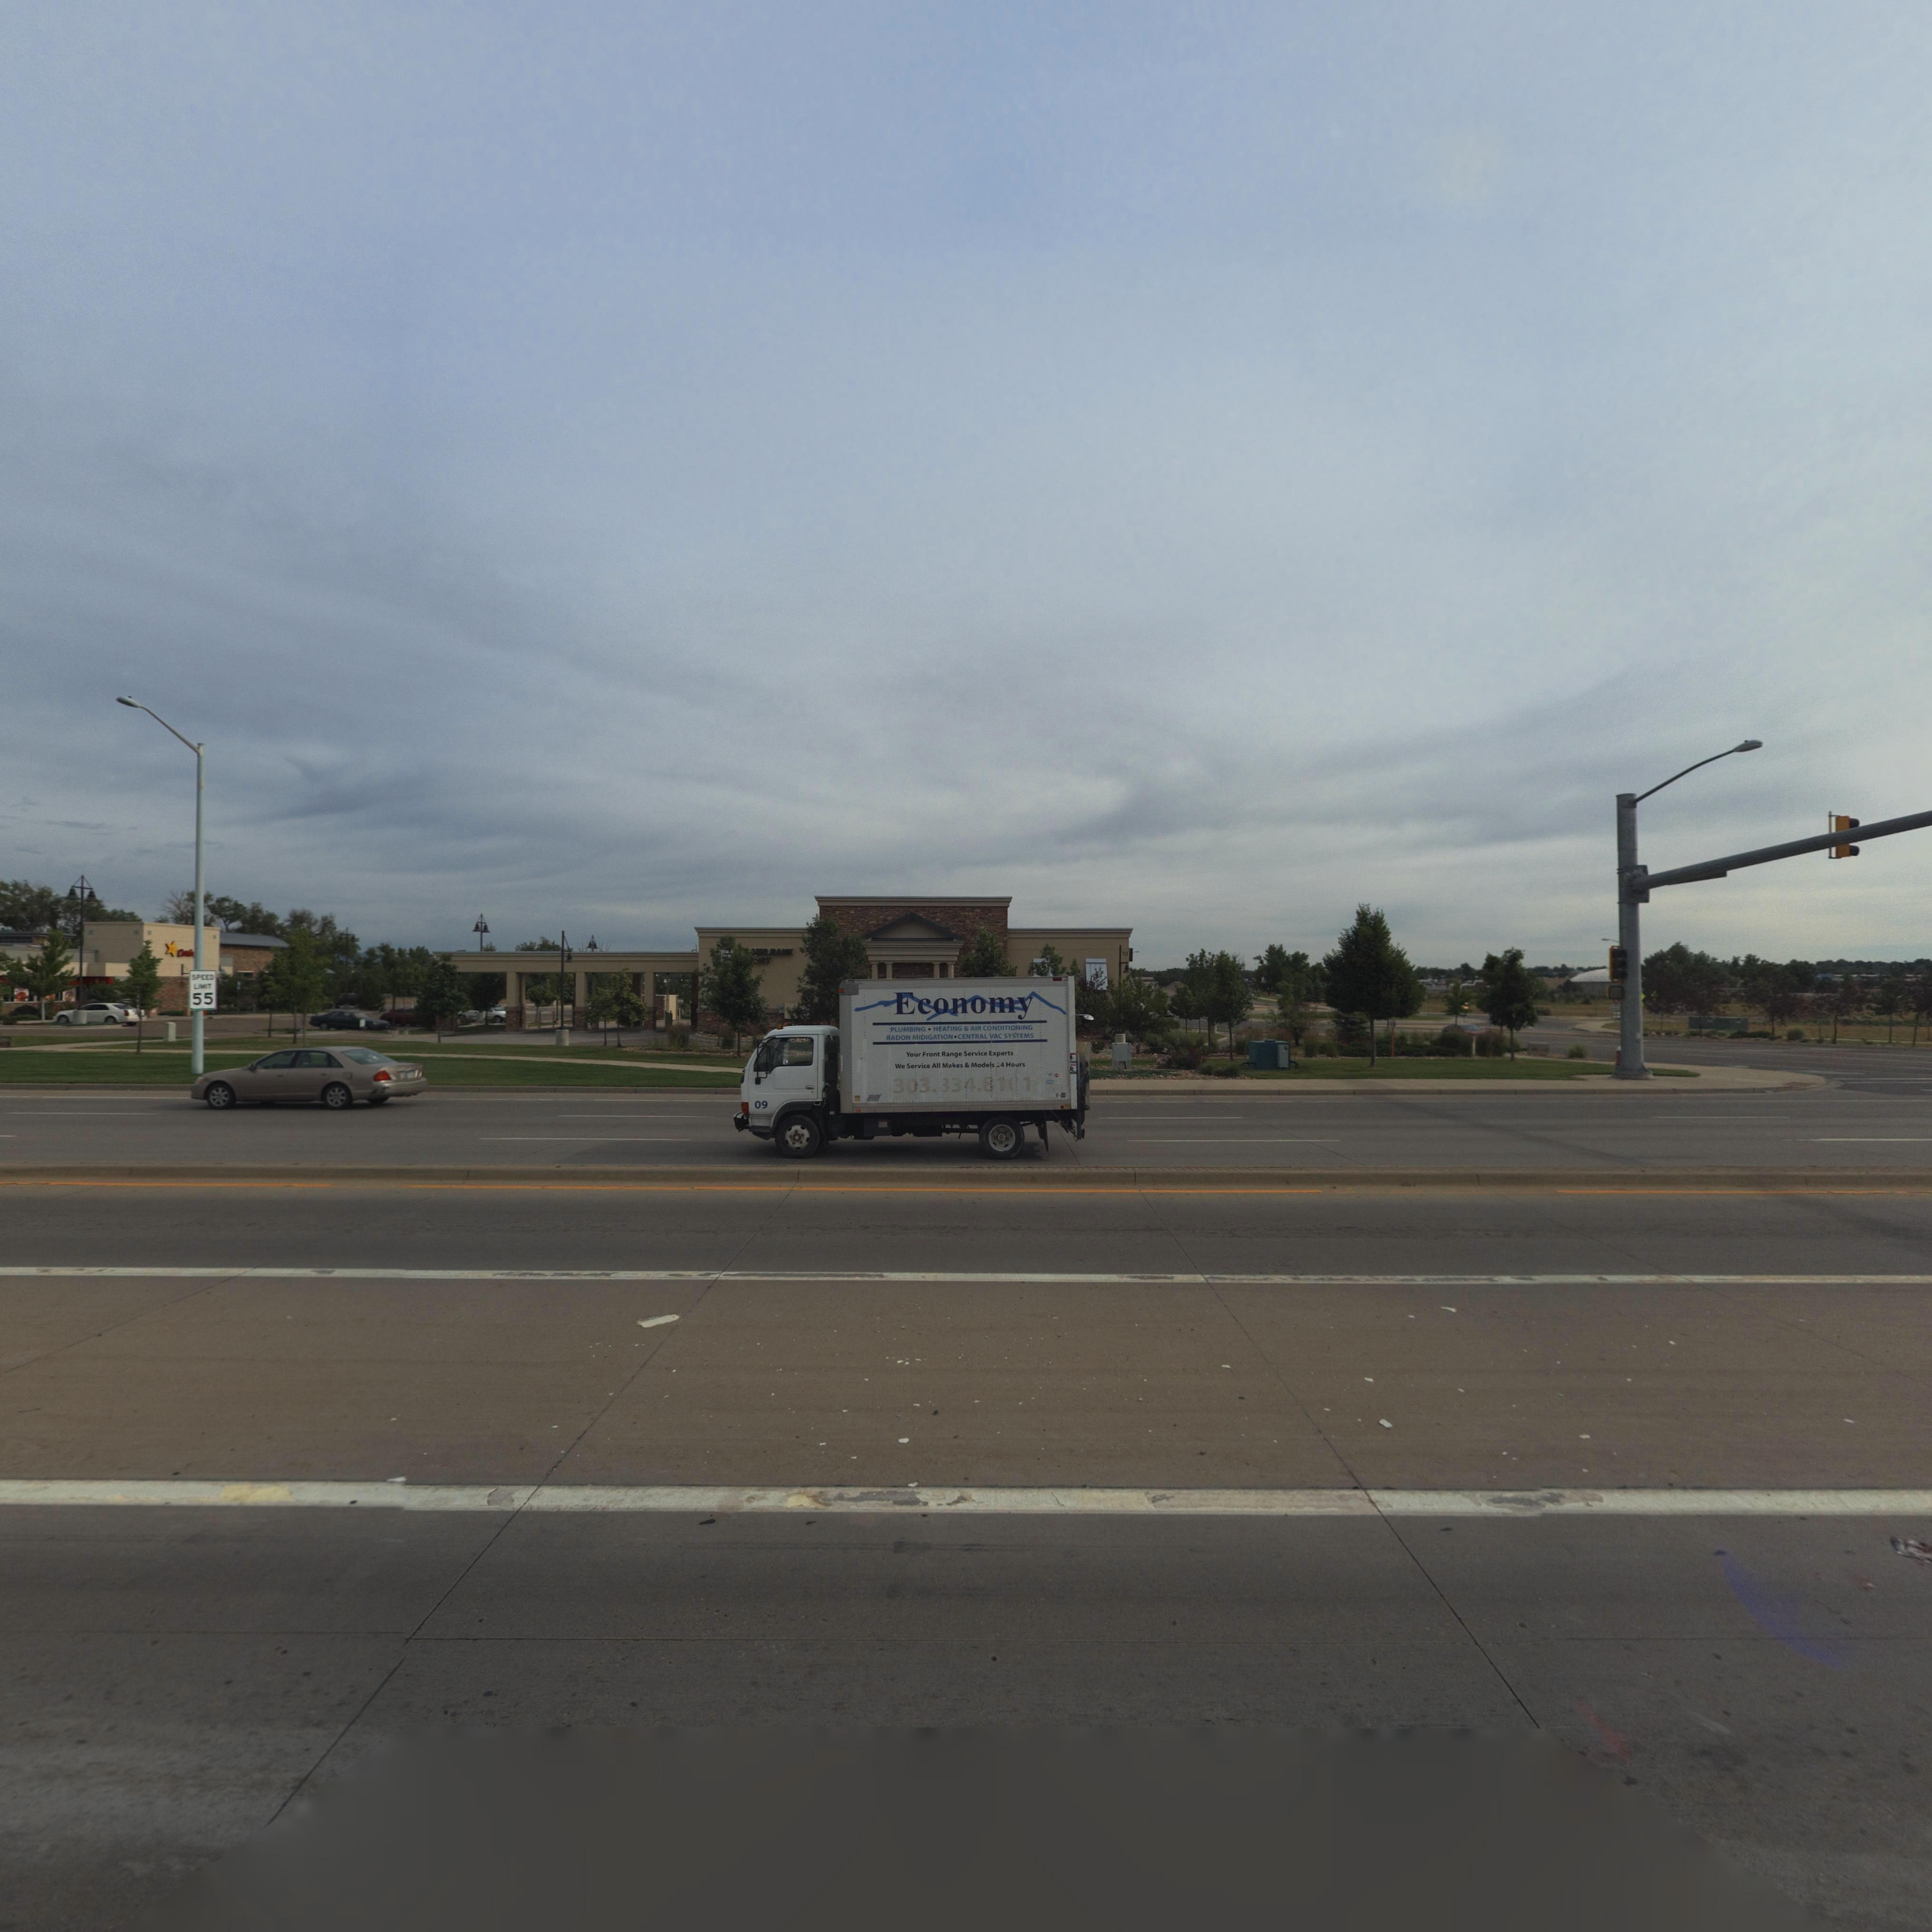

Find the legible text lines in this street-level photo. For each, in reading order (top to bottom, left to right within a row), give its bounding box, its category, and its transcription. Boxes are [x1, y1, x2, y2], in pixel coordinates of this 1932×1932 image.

[176, 948, 194, 957] BusinessName: C*****
[749, 948, 794, 955] BusinessName: ***R BANK
[1122, 951, 1128, 956] StreetNumber: 10
[751, 956, 772, 964] BusinessName: ***T